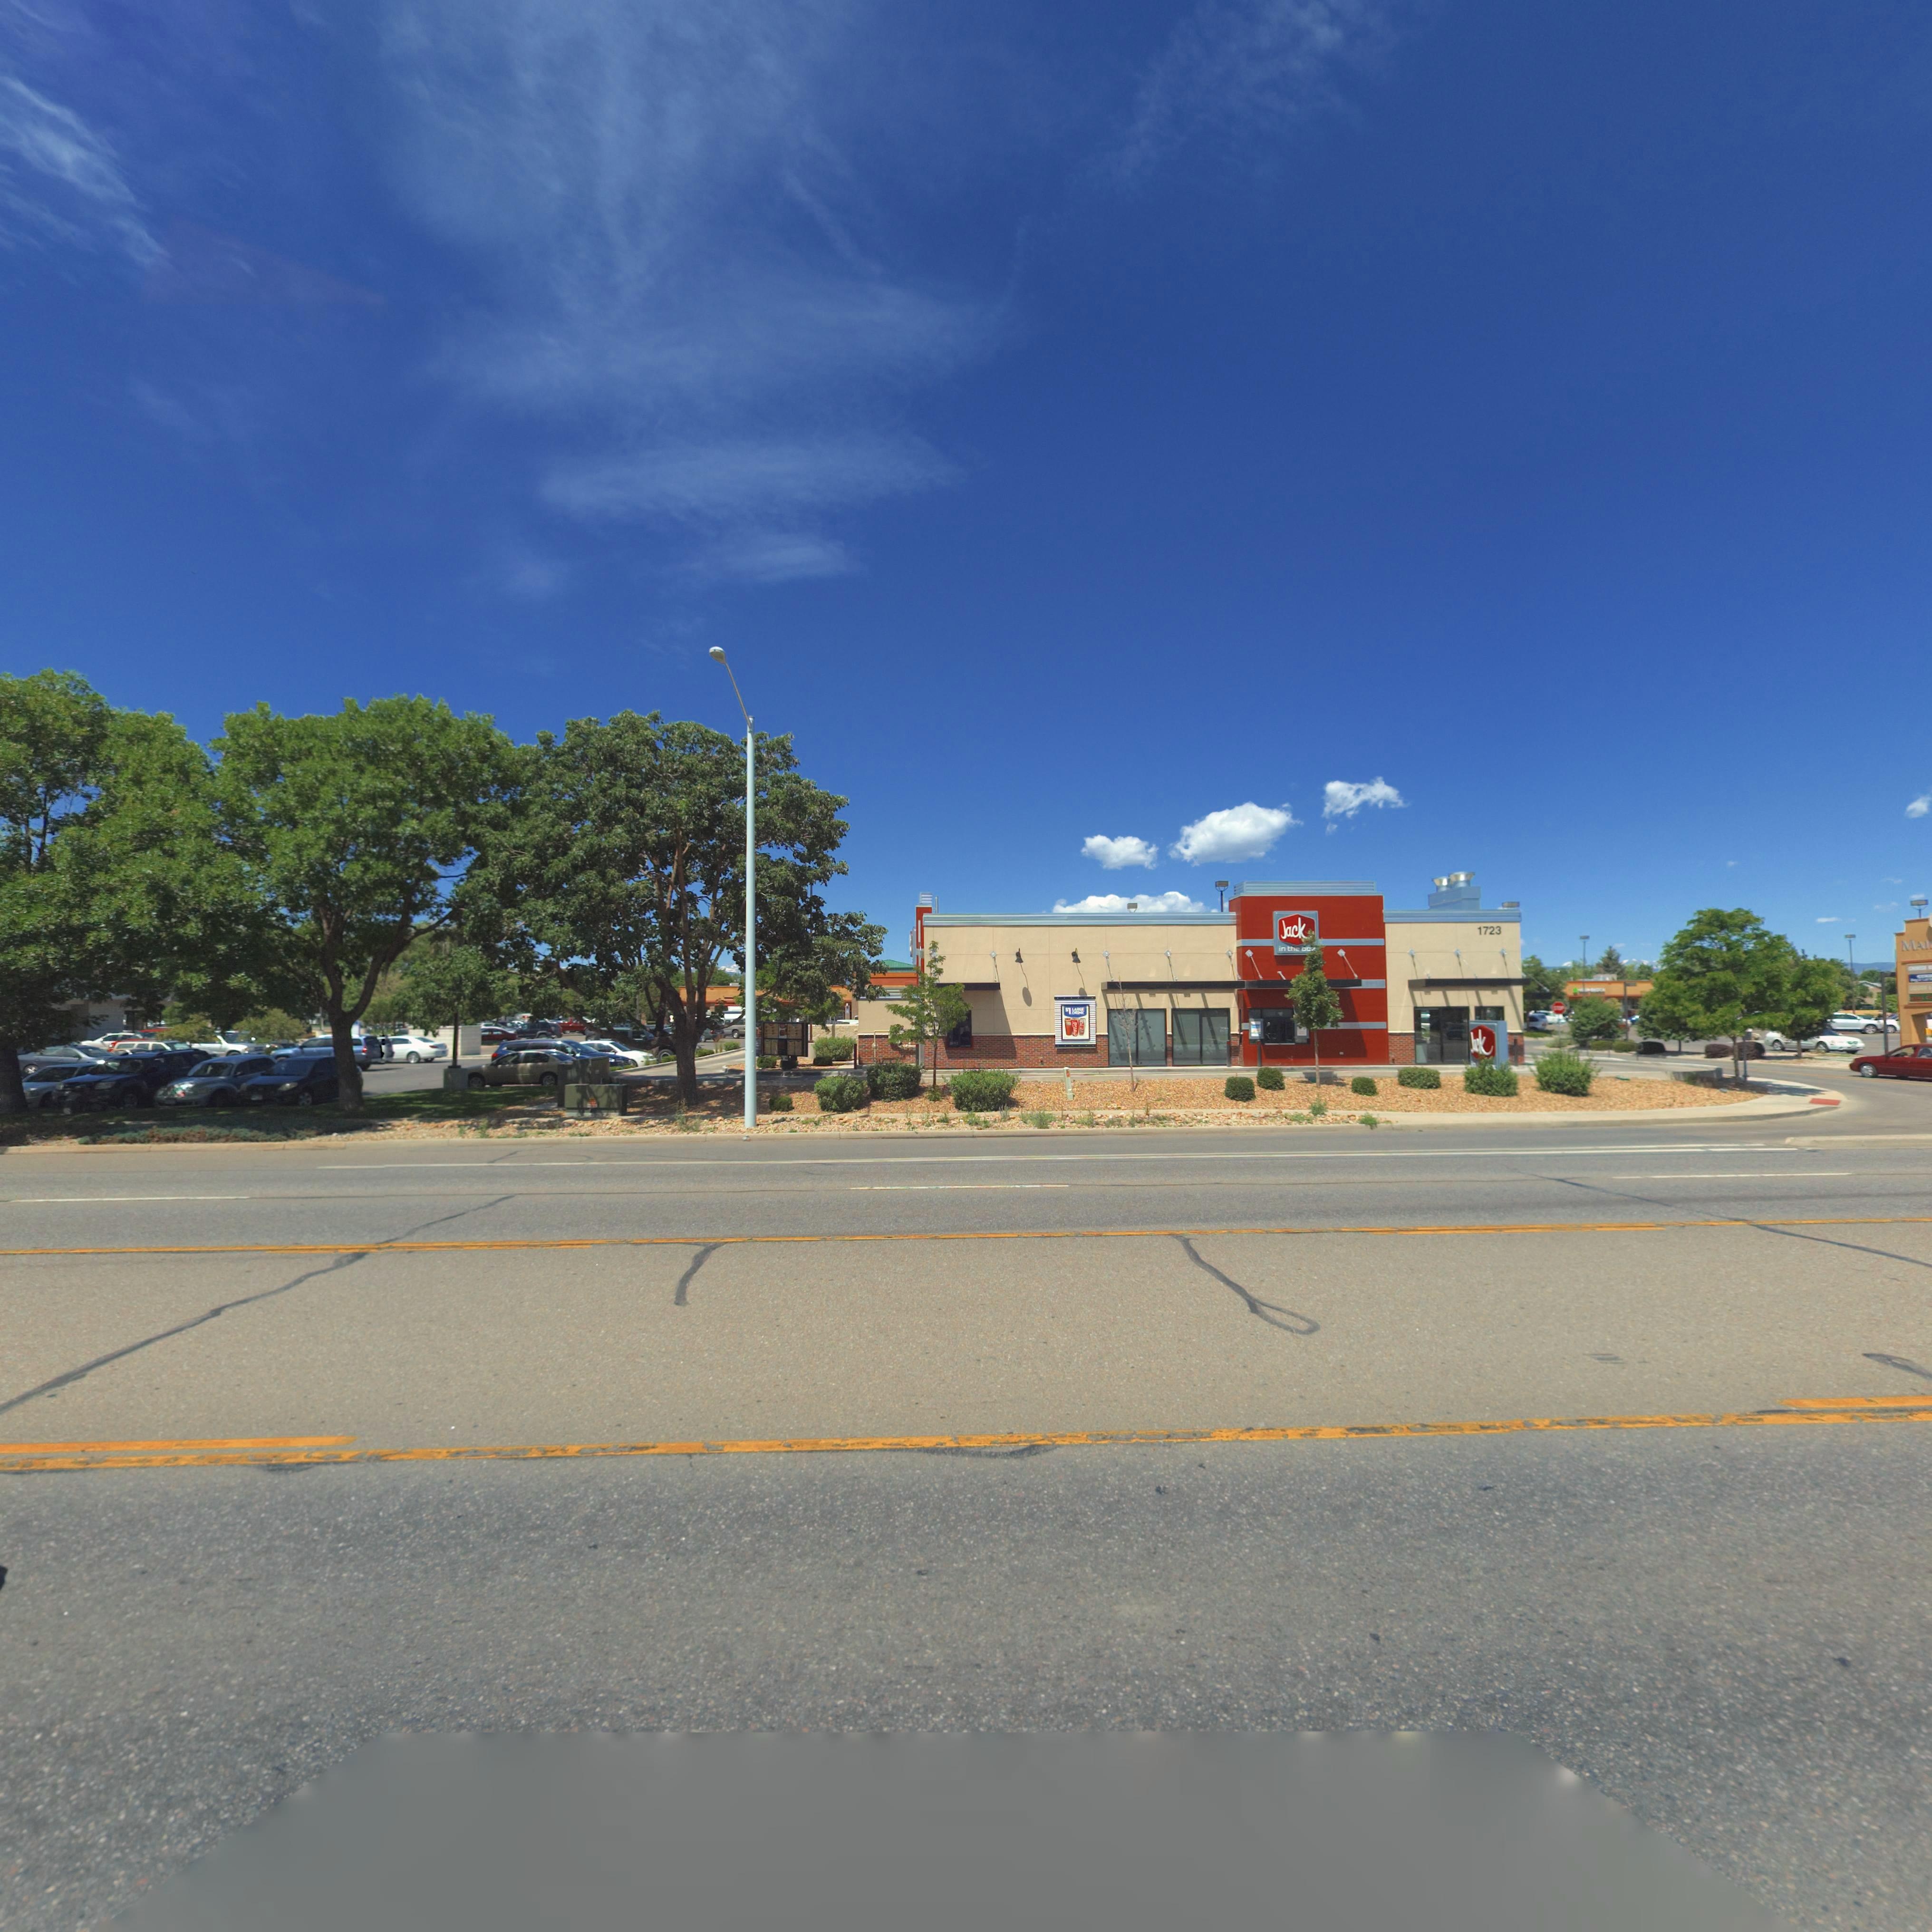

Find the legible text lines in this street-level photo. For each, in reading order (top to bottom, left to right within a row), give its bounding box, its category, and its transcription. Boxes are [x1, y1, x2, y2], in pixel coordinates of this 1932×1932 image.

[1280, 917, 1314, 939] BusinessName: Jack
[1477, 925, 1501, 935] StreetNumber: 1723
[1278, 945, 1316, 951] BusinessName: in the *o*
[1577, 987, 1605, 993] BusinessName: *** **OC*
[1470, 1028, 1494, 1056] BusinessName: J*ck